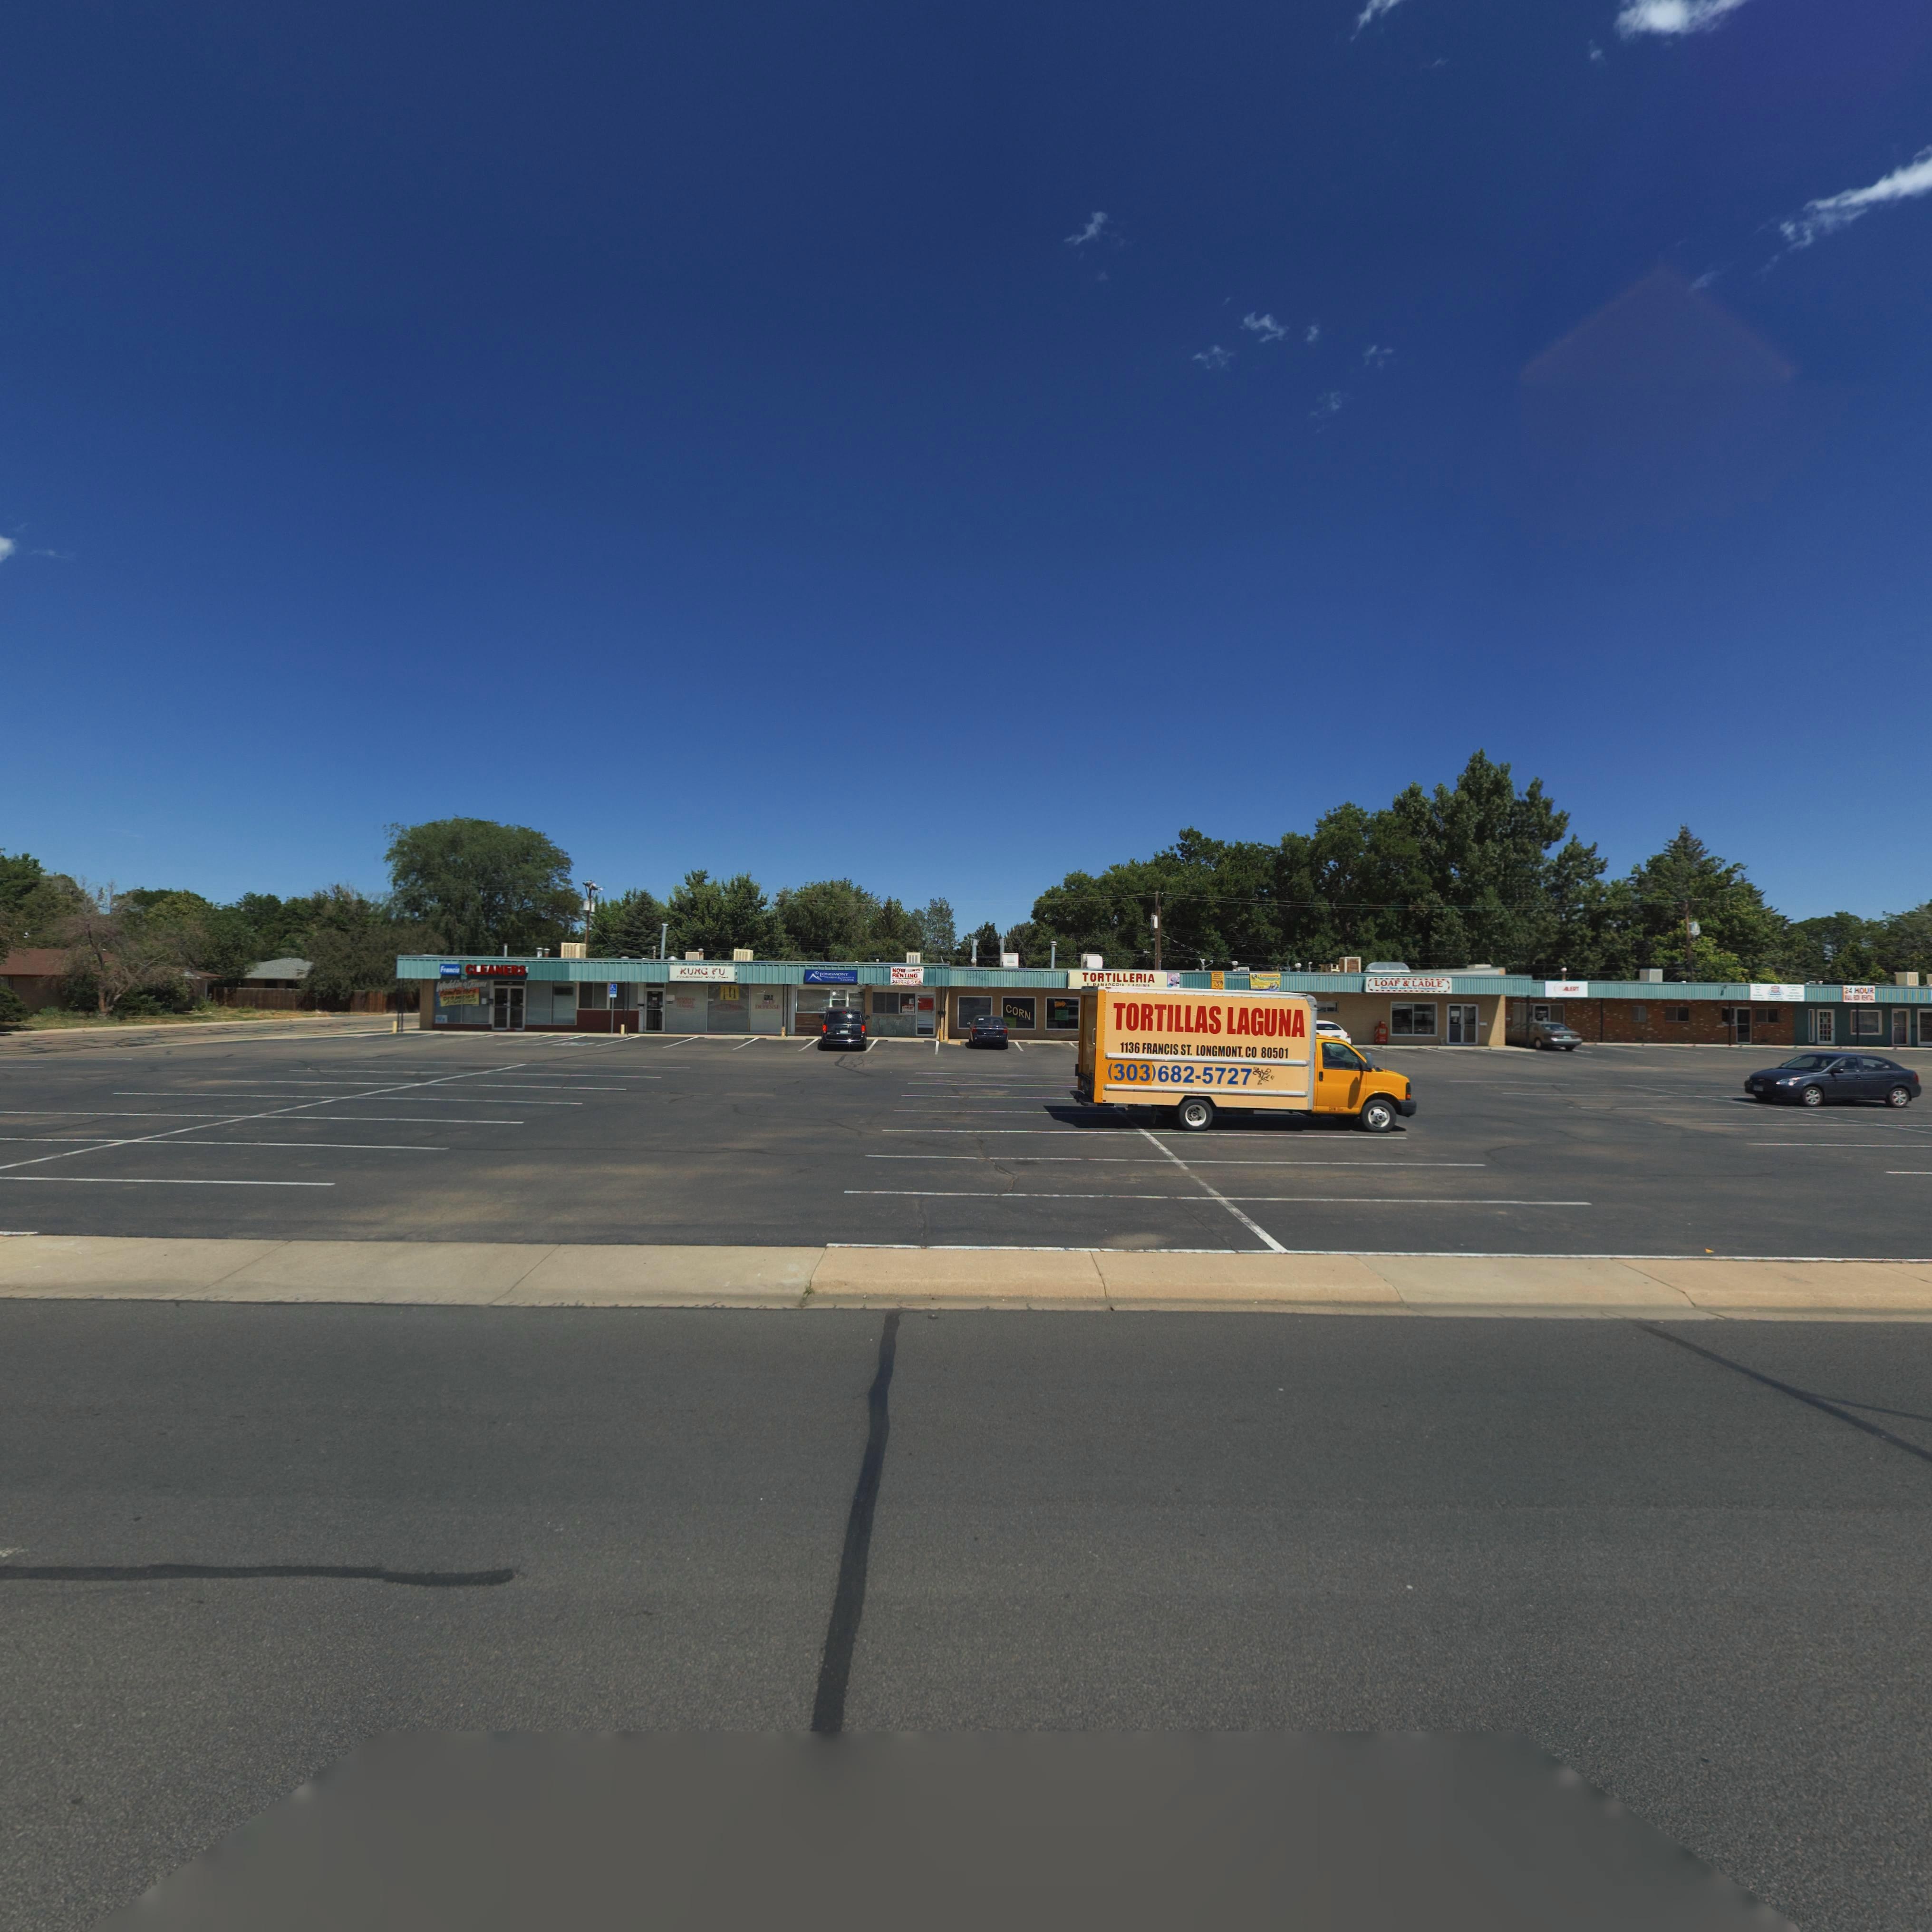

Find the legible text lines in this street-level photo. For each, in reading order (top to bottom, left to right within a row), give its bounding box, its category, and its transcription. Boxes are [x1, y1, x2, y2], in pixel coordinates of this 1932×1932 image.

[440, 966, 460, 973] BusinessName: Francis
[465, 964, 526, 976] BusinessName: CLEANERS
[680, 967, 725, 975] BusinessName: KUNG FU
[1082, 972, 1155, 983] BusinessName: TORTILLERIA
[1375, 980, 1443, 987] BusinessName: LOAF * LADLE
[1562, 985, 1580, 991] BusinessName: ALERT
[1845, 987, 1874, 994] BusinessName: 24 HOUR